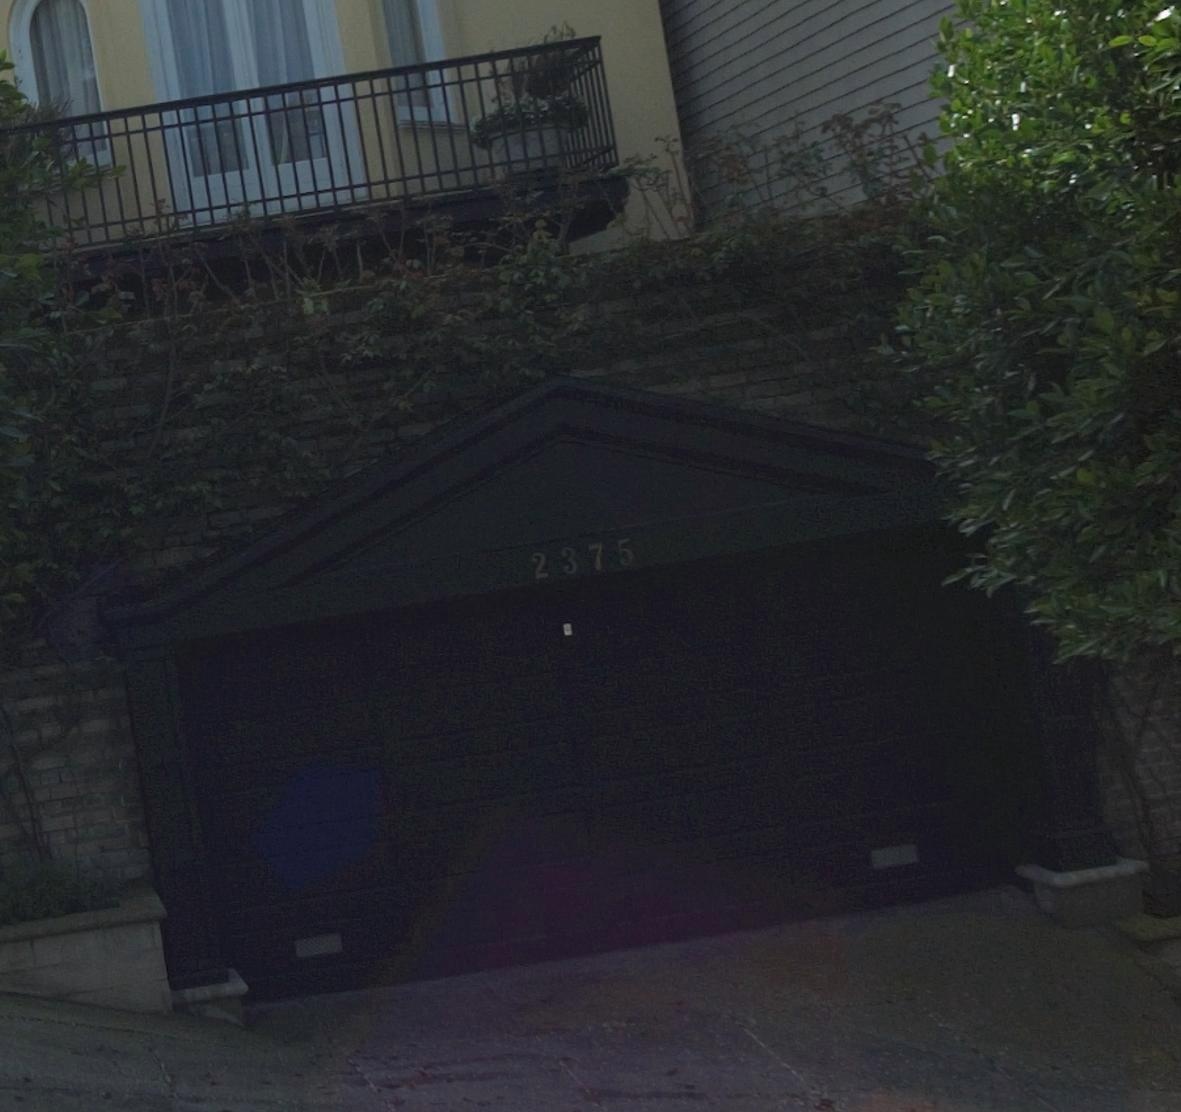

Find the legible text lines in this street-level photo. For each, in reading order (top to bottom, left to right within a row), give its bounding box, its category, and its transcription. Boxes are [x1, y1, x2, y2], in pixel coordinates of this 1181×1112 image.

[529, 535, 635, 582] StreetNumber: 2375